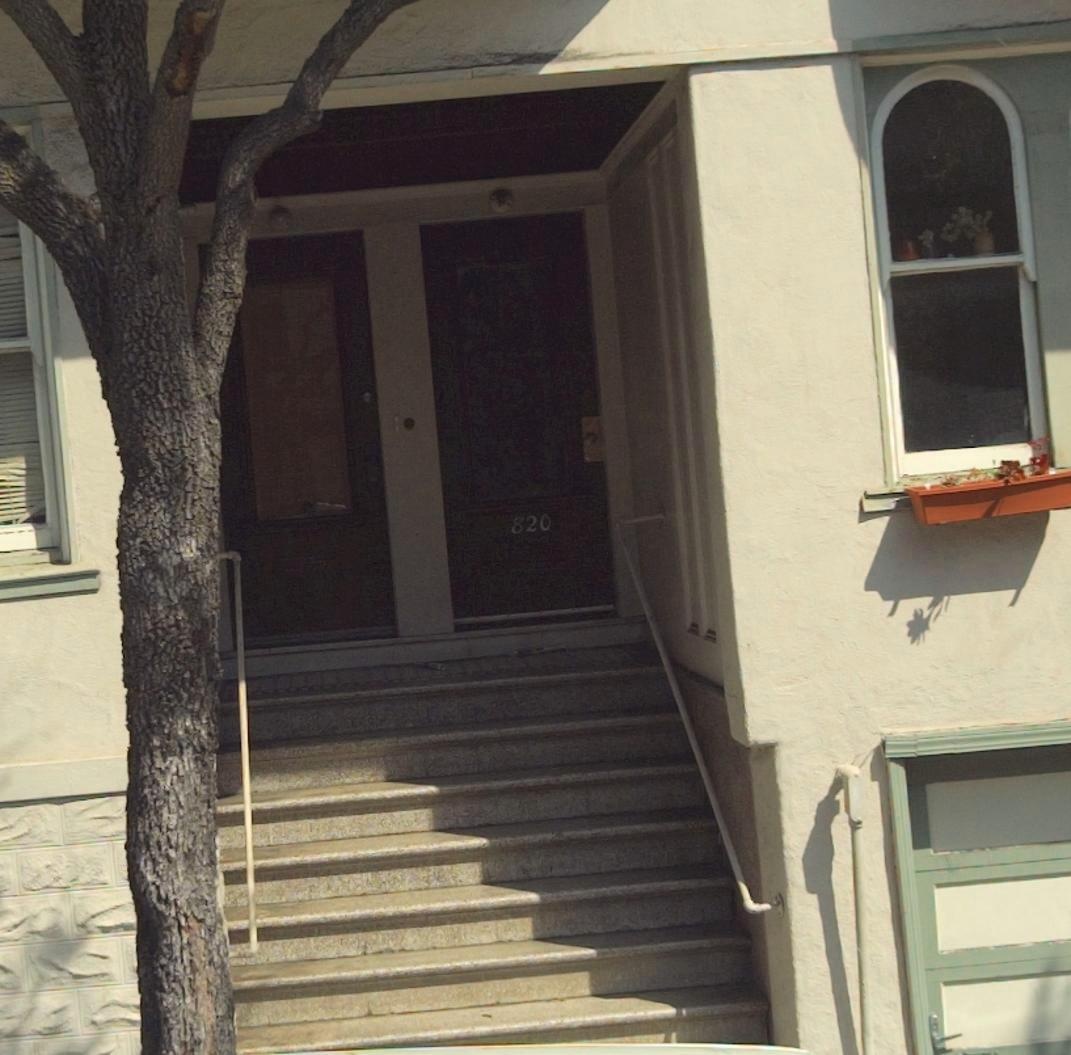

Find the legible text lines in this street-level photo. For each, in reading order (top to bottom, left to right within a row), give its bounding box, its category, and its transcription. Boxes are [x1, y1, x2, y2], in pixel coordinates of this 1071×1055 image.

[510, 514, 553, 534] StreetNumber: 820